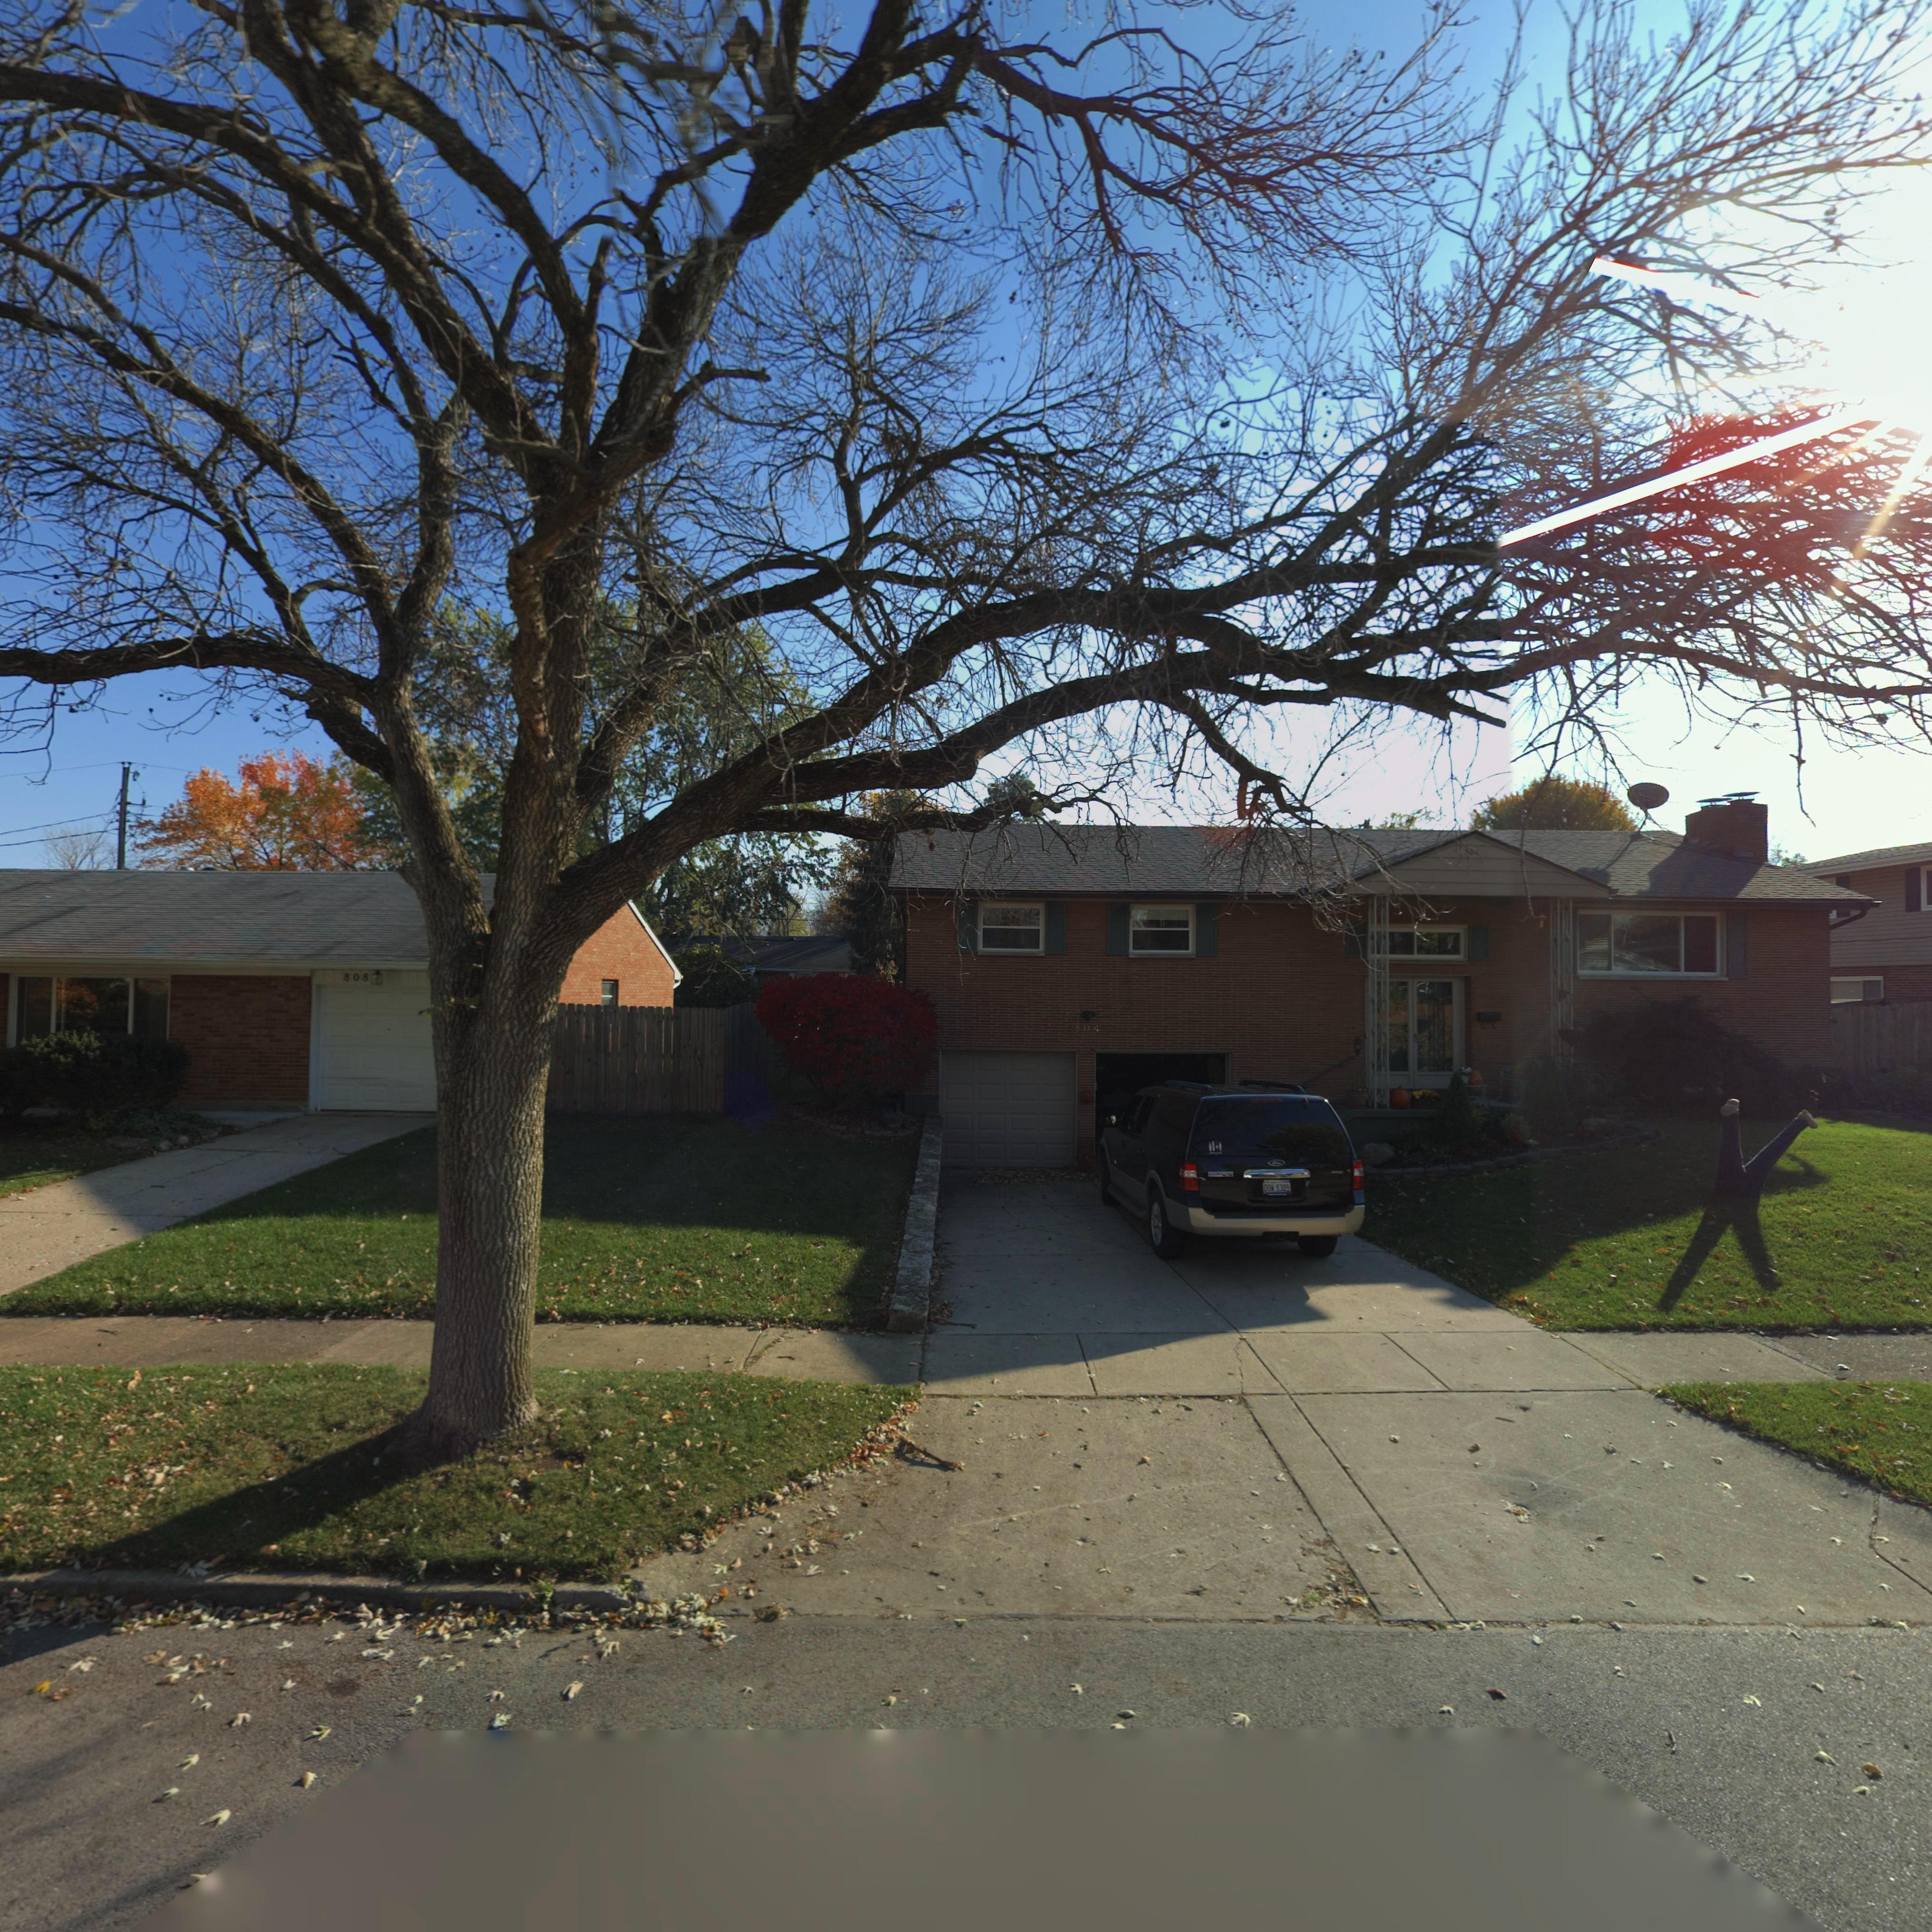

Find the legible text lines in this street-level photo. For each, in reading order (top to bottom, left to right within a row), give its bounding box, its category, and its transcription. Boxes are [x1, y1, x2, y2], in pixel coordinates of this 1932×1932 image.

[1463, 847, 1478, 855] StreetNumber: 804
[343, 972, 368, 981] StreetNumber: 808
[1074, 1024, 1099, 1033] StreetNumber: 804